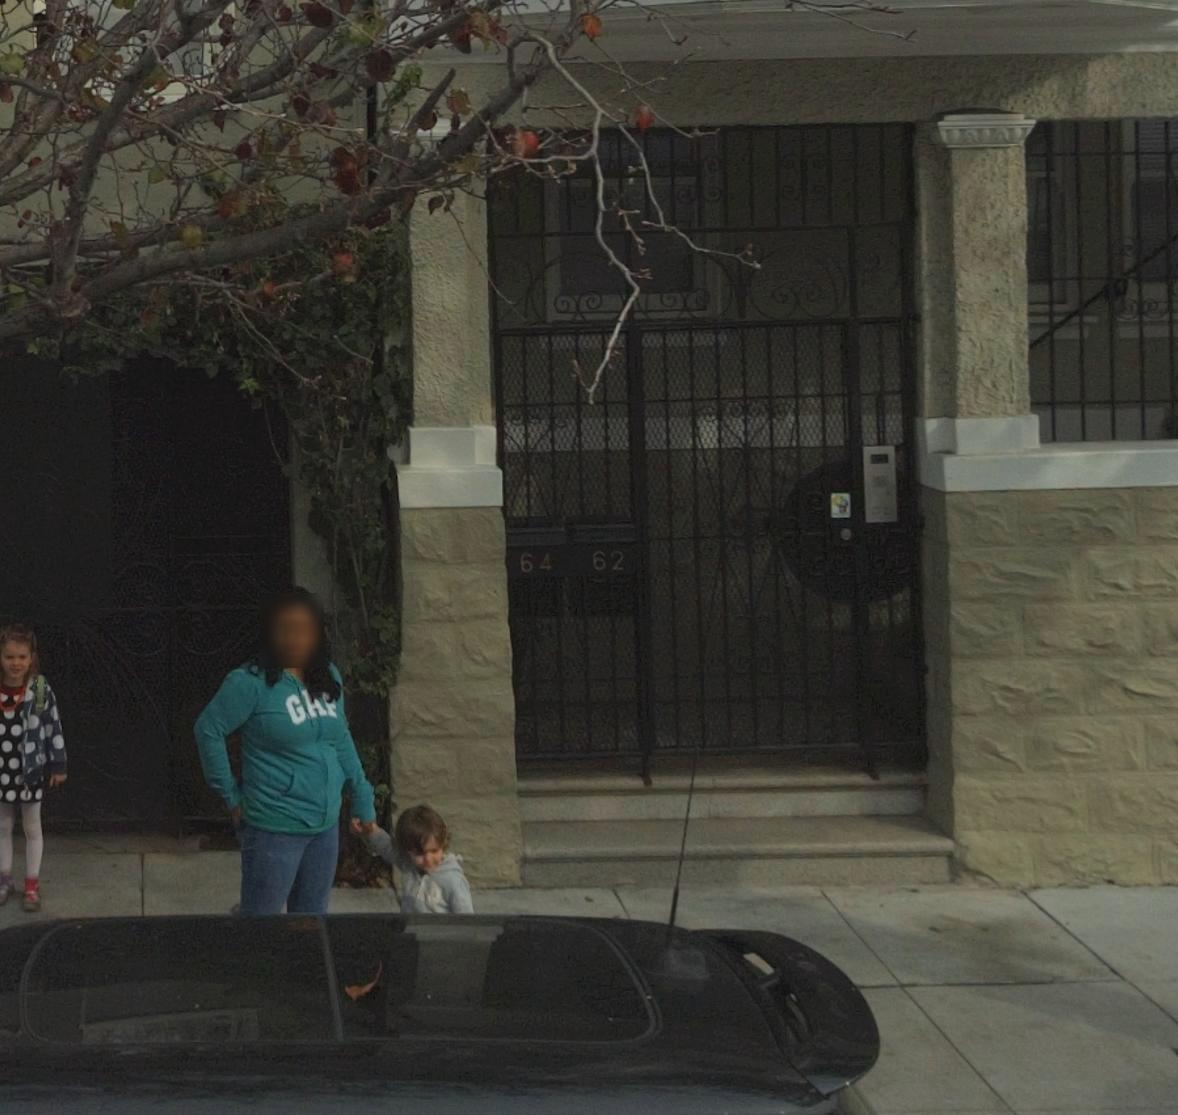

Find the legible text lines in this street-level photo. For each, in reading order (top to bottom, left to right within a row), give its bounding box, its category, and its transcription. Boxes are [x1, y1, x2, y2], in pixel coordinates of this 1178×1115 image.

[519, 551, 553, 574] StreetNumber: 64
[590, 548, 625, 572] StreetNumber: 62